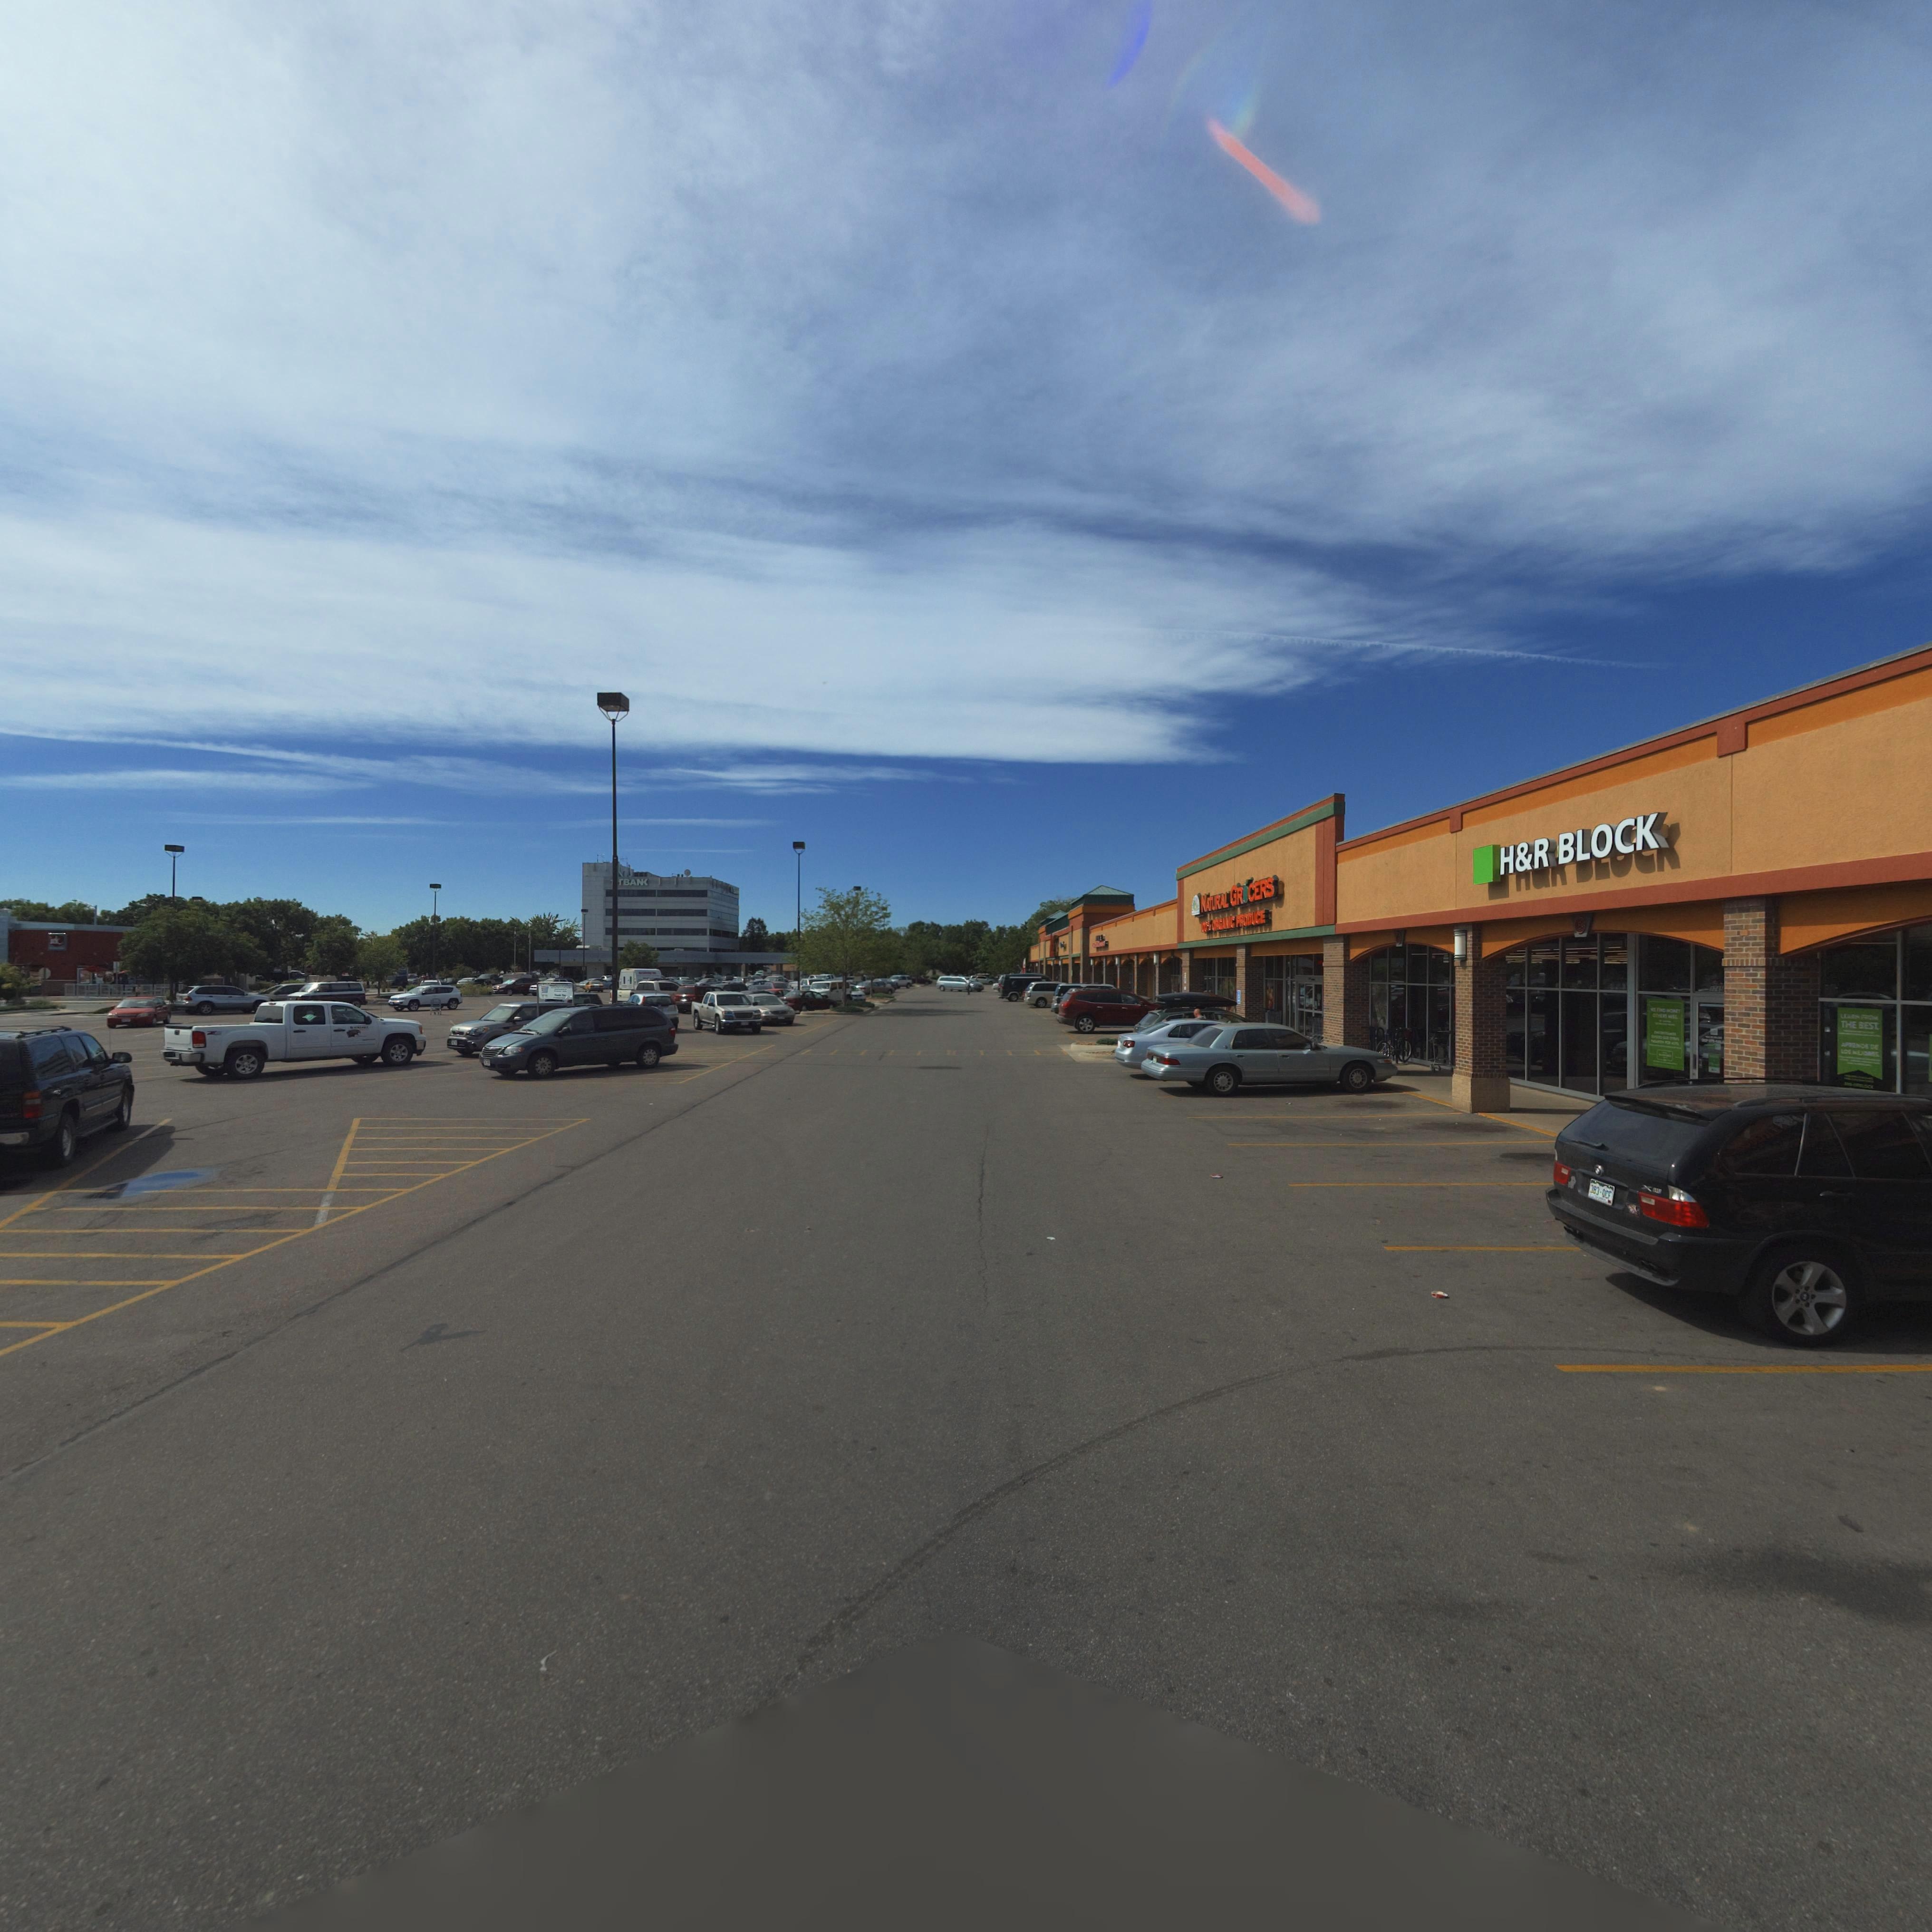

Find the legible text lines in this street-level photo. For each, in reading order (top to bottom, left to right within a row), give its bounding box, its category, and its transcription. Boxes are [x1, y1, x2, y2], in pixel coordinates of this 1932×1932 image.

[1499, 809, 1670, 876] BusinessName: H&R BLOCK
[609, 878, 648, 886] BusinessName: ***BAN*
[1200, 876, 1276, 913] BusinessName: NATURAL GR*CERS
[1200, 908, 1267, 933] BusinessName: 100% ORGANIC PRODUCE
[48, 935, 62, 945] BusinessName: Jack
[1708, 985, 1724, 993] StreetNumber: 174*